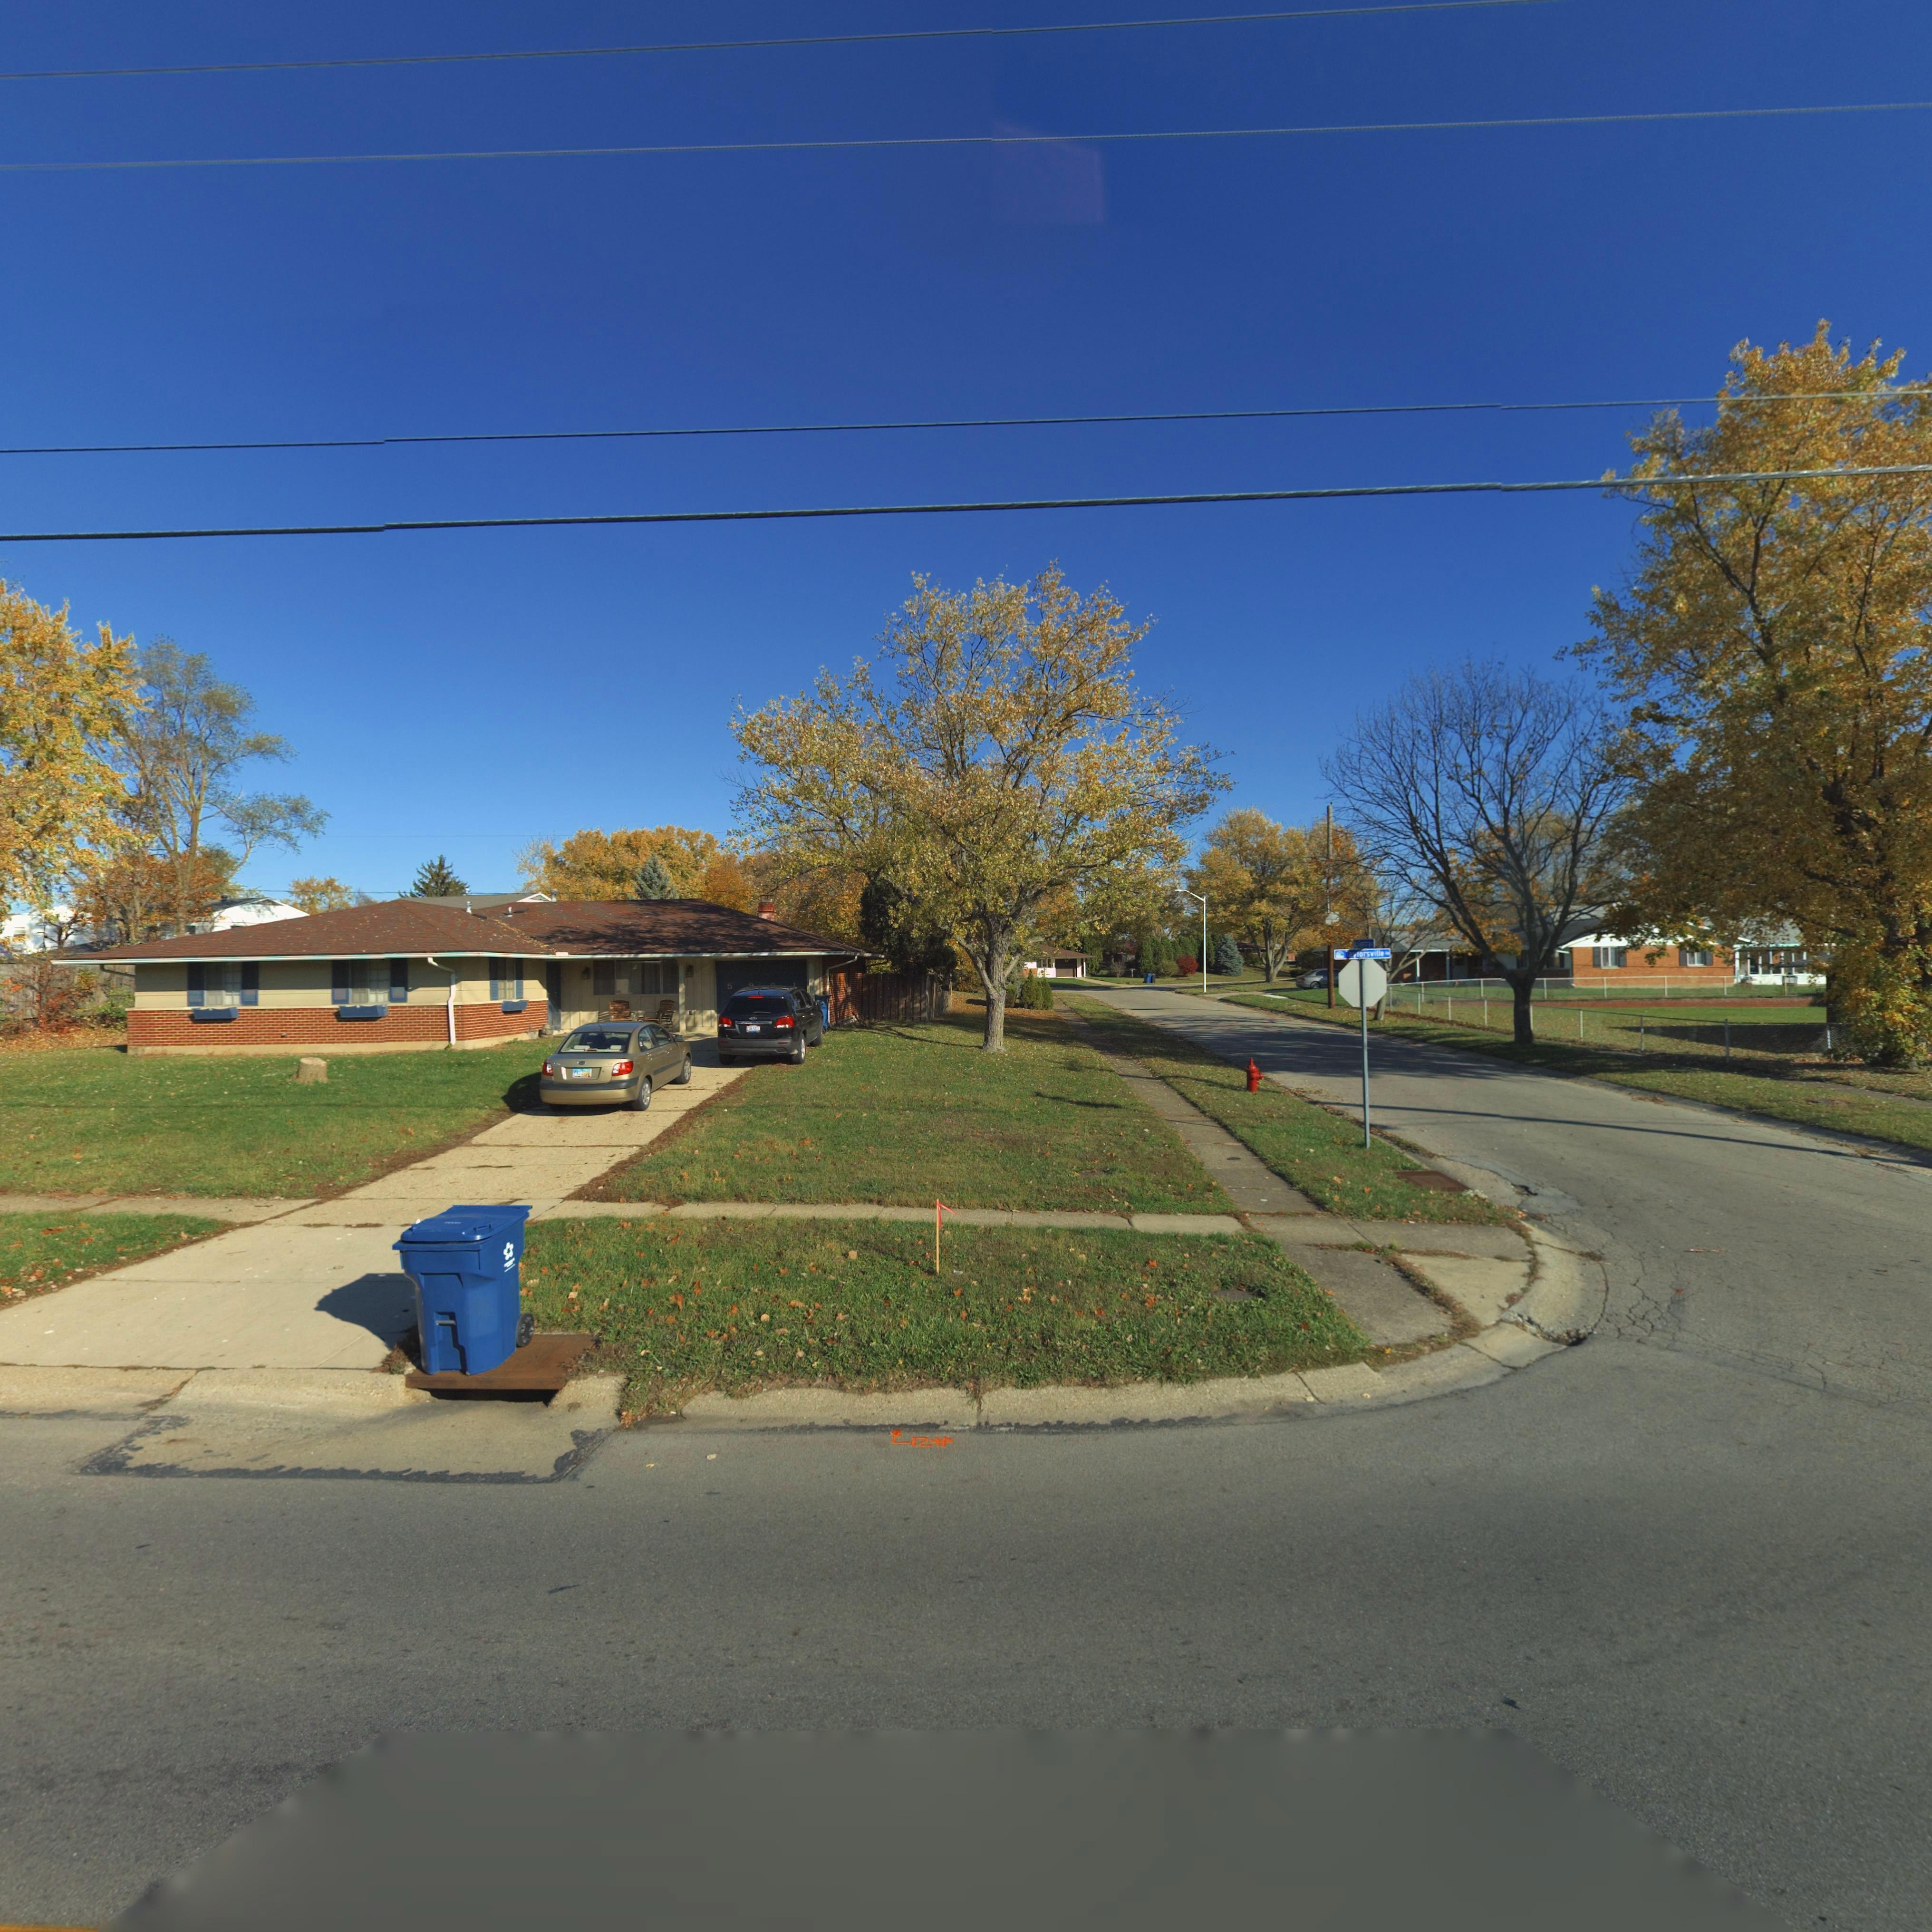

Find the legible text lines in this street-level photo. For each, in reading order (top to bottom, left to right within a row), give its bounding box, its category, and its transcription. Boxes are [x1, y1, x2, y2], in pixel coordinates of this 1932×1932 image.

[727, 983, 733, 990] StreetNumber: 5